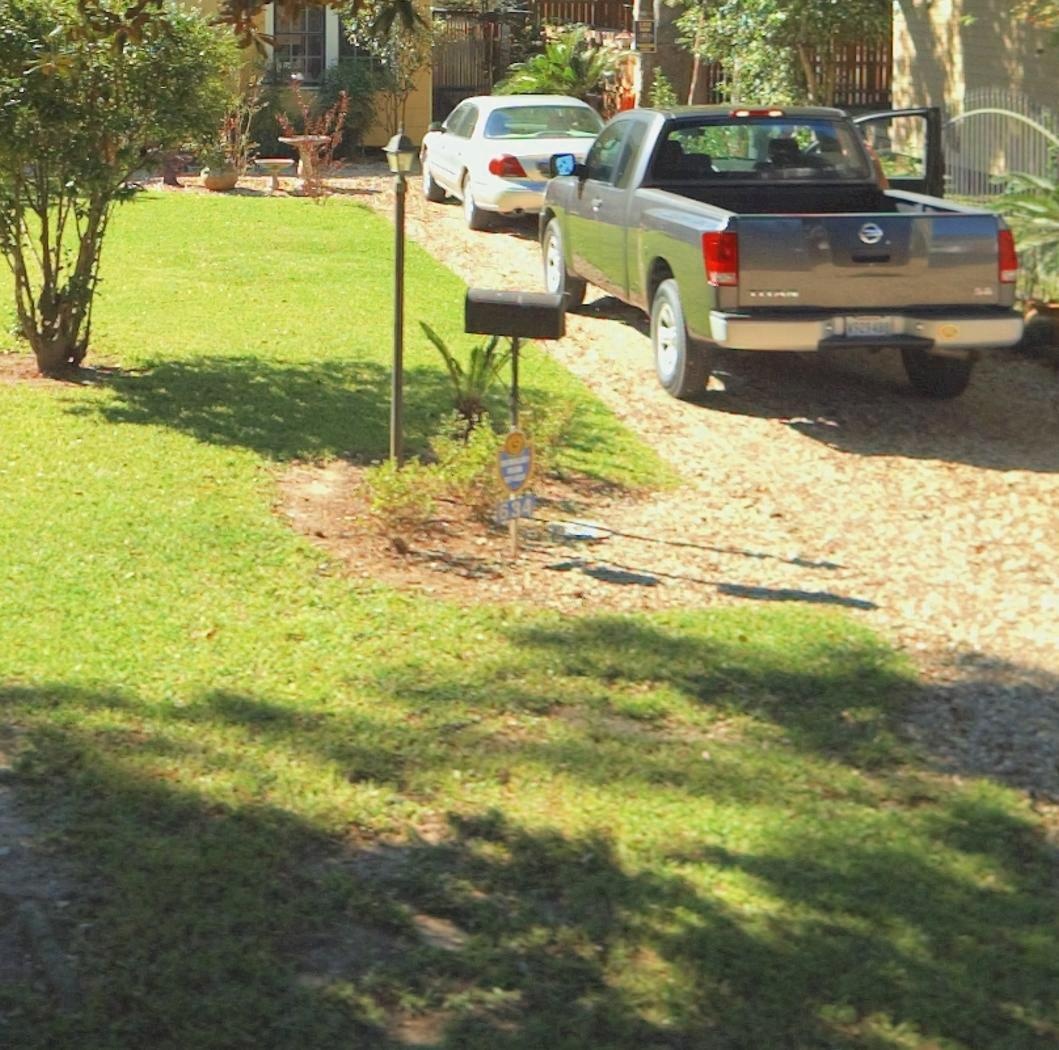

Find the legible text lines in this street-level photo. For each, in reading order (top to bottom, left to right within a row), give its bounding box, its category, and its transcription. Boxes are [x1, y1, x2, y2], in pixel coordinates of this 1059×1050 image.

[846, 321, 896, 336] None: W9*94**
[497, 495, 533, 522] StreetNumber: 634